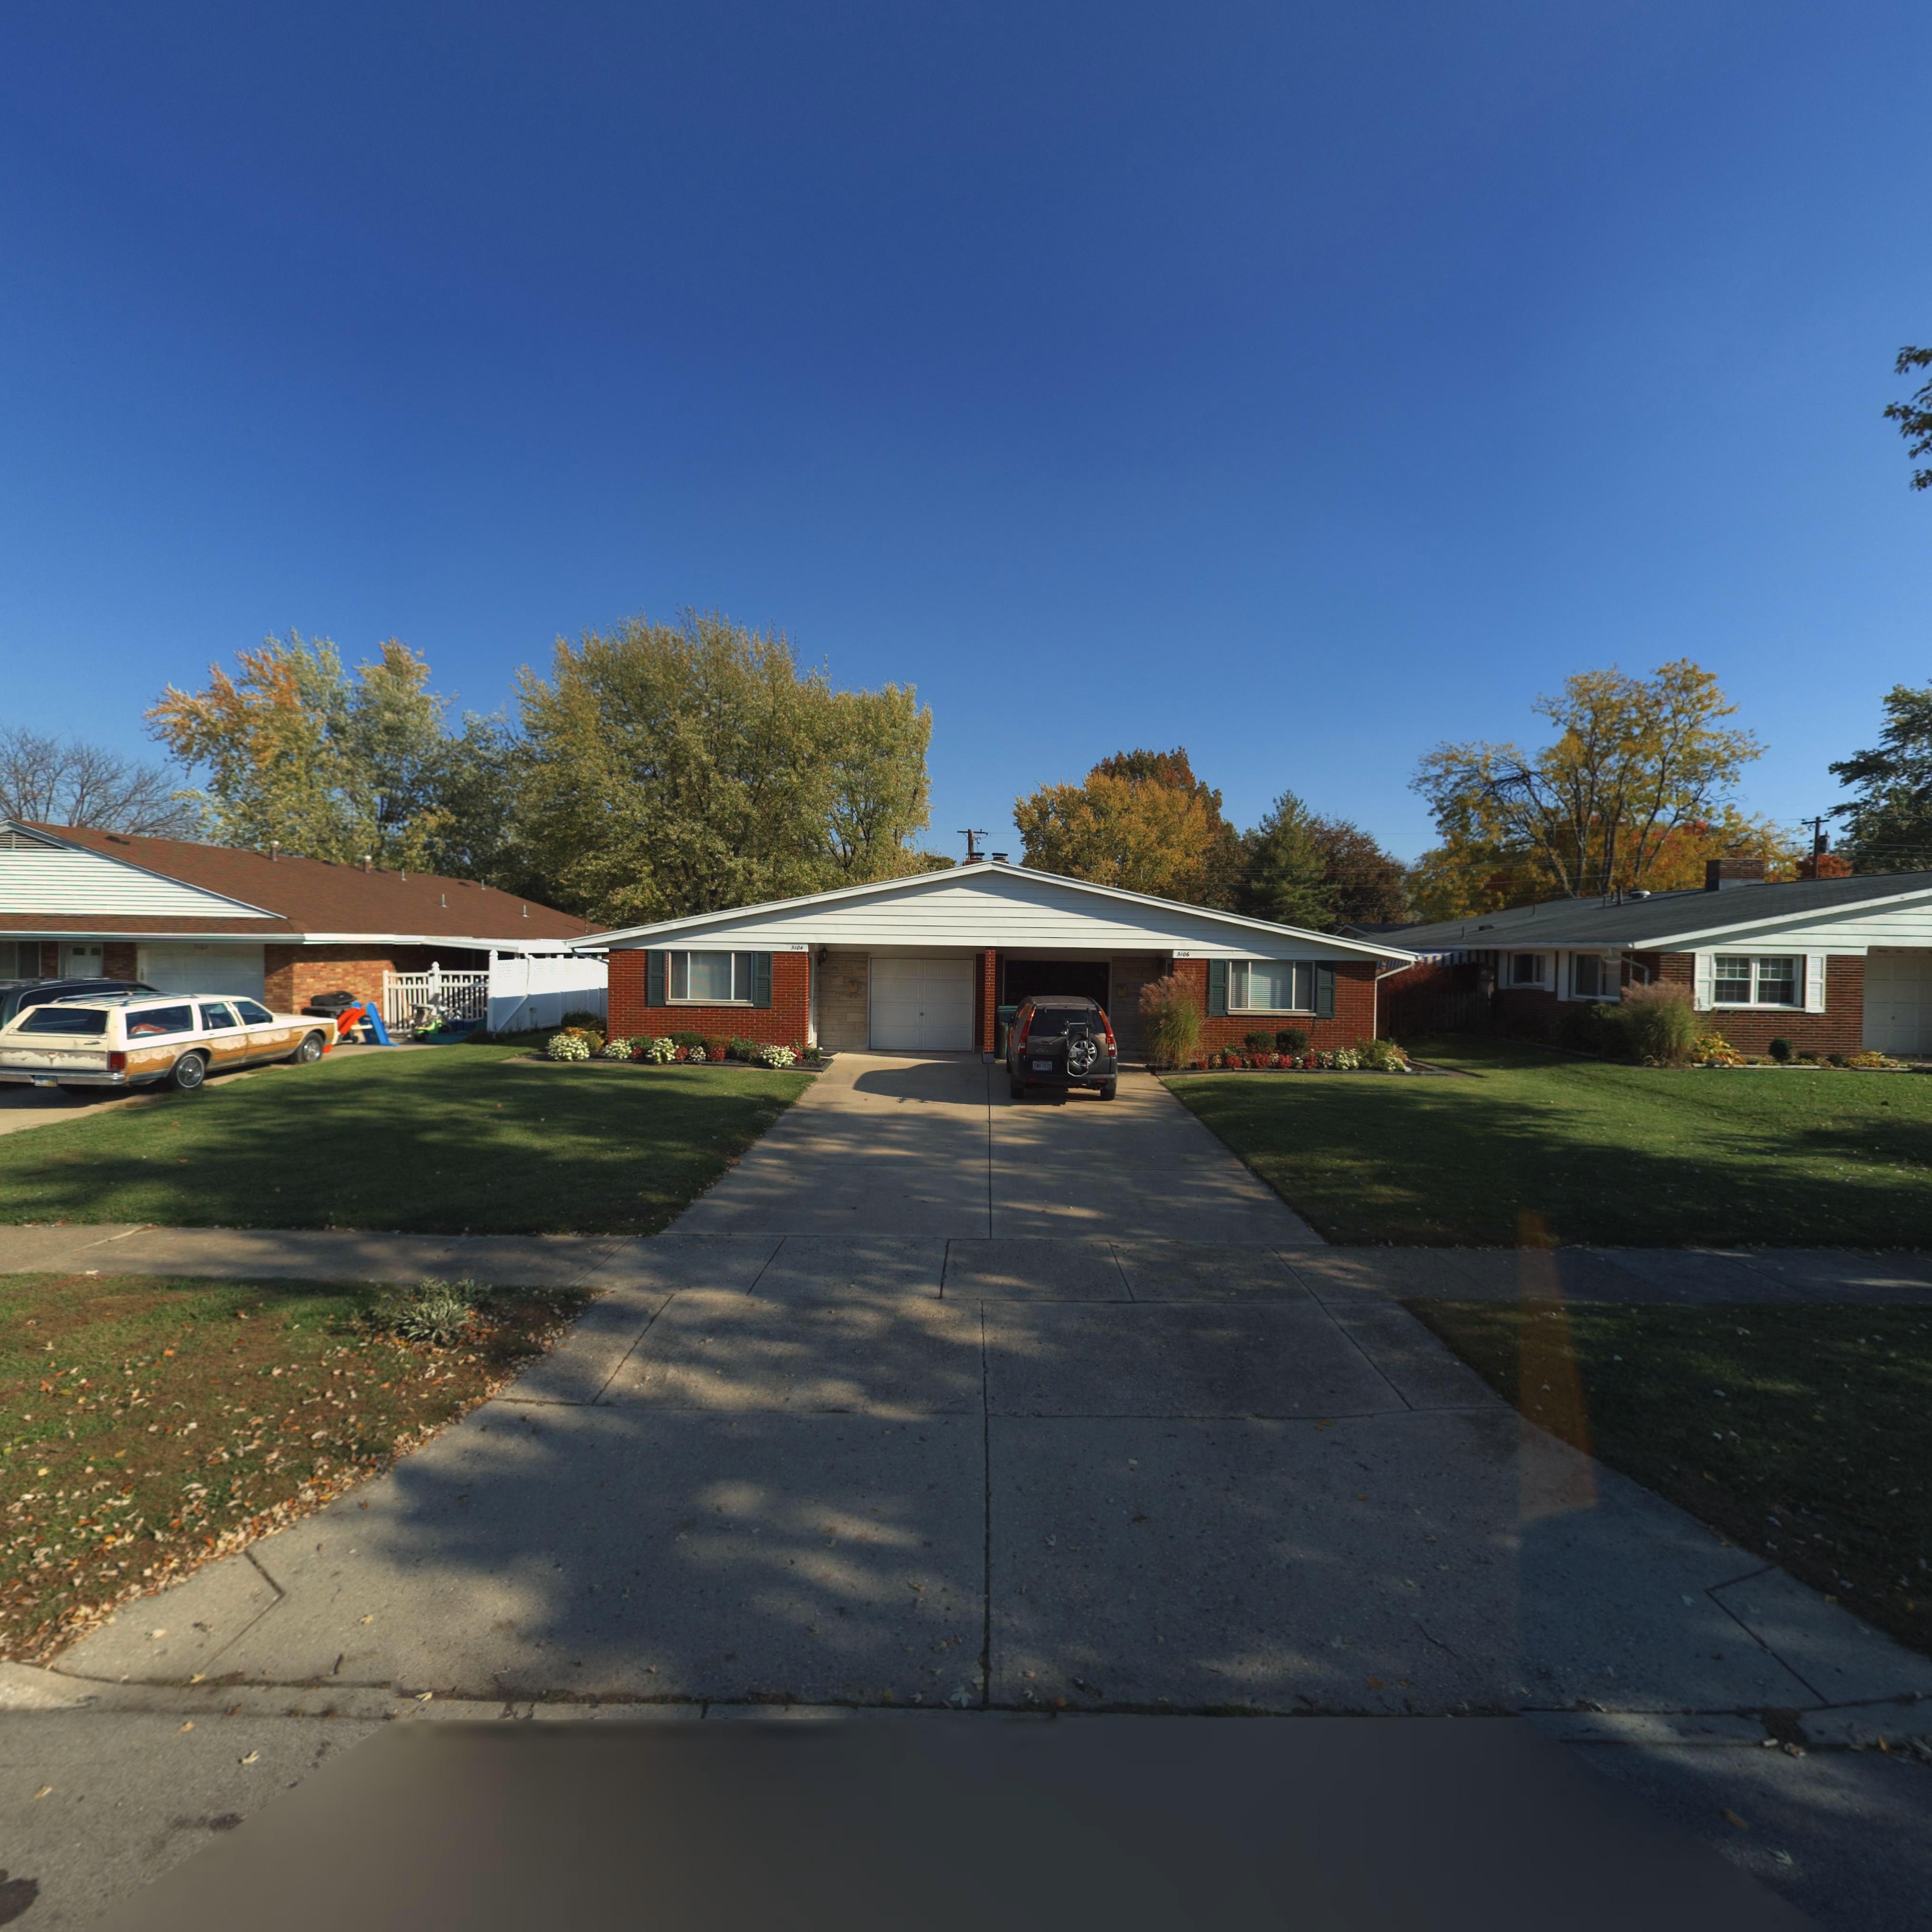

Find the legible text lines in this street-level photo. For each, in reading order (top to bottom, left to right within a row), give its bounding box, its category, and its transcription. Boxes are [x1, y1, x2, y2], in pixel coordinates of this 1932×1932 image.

[191, 943, 207, 949] StreetNumber: 3102
[790, 945, 803, 950] StreetNumber: 3104
[1176, 950, 1189, 957] StreetNumber: 3106